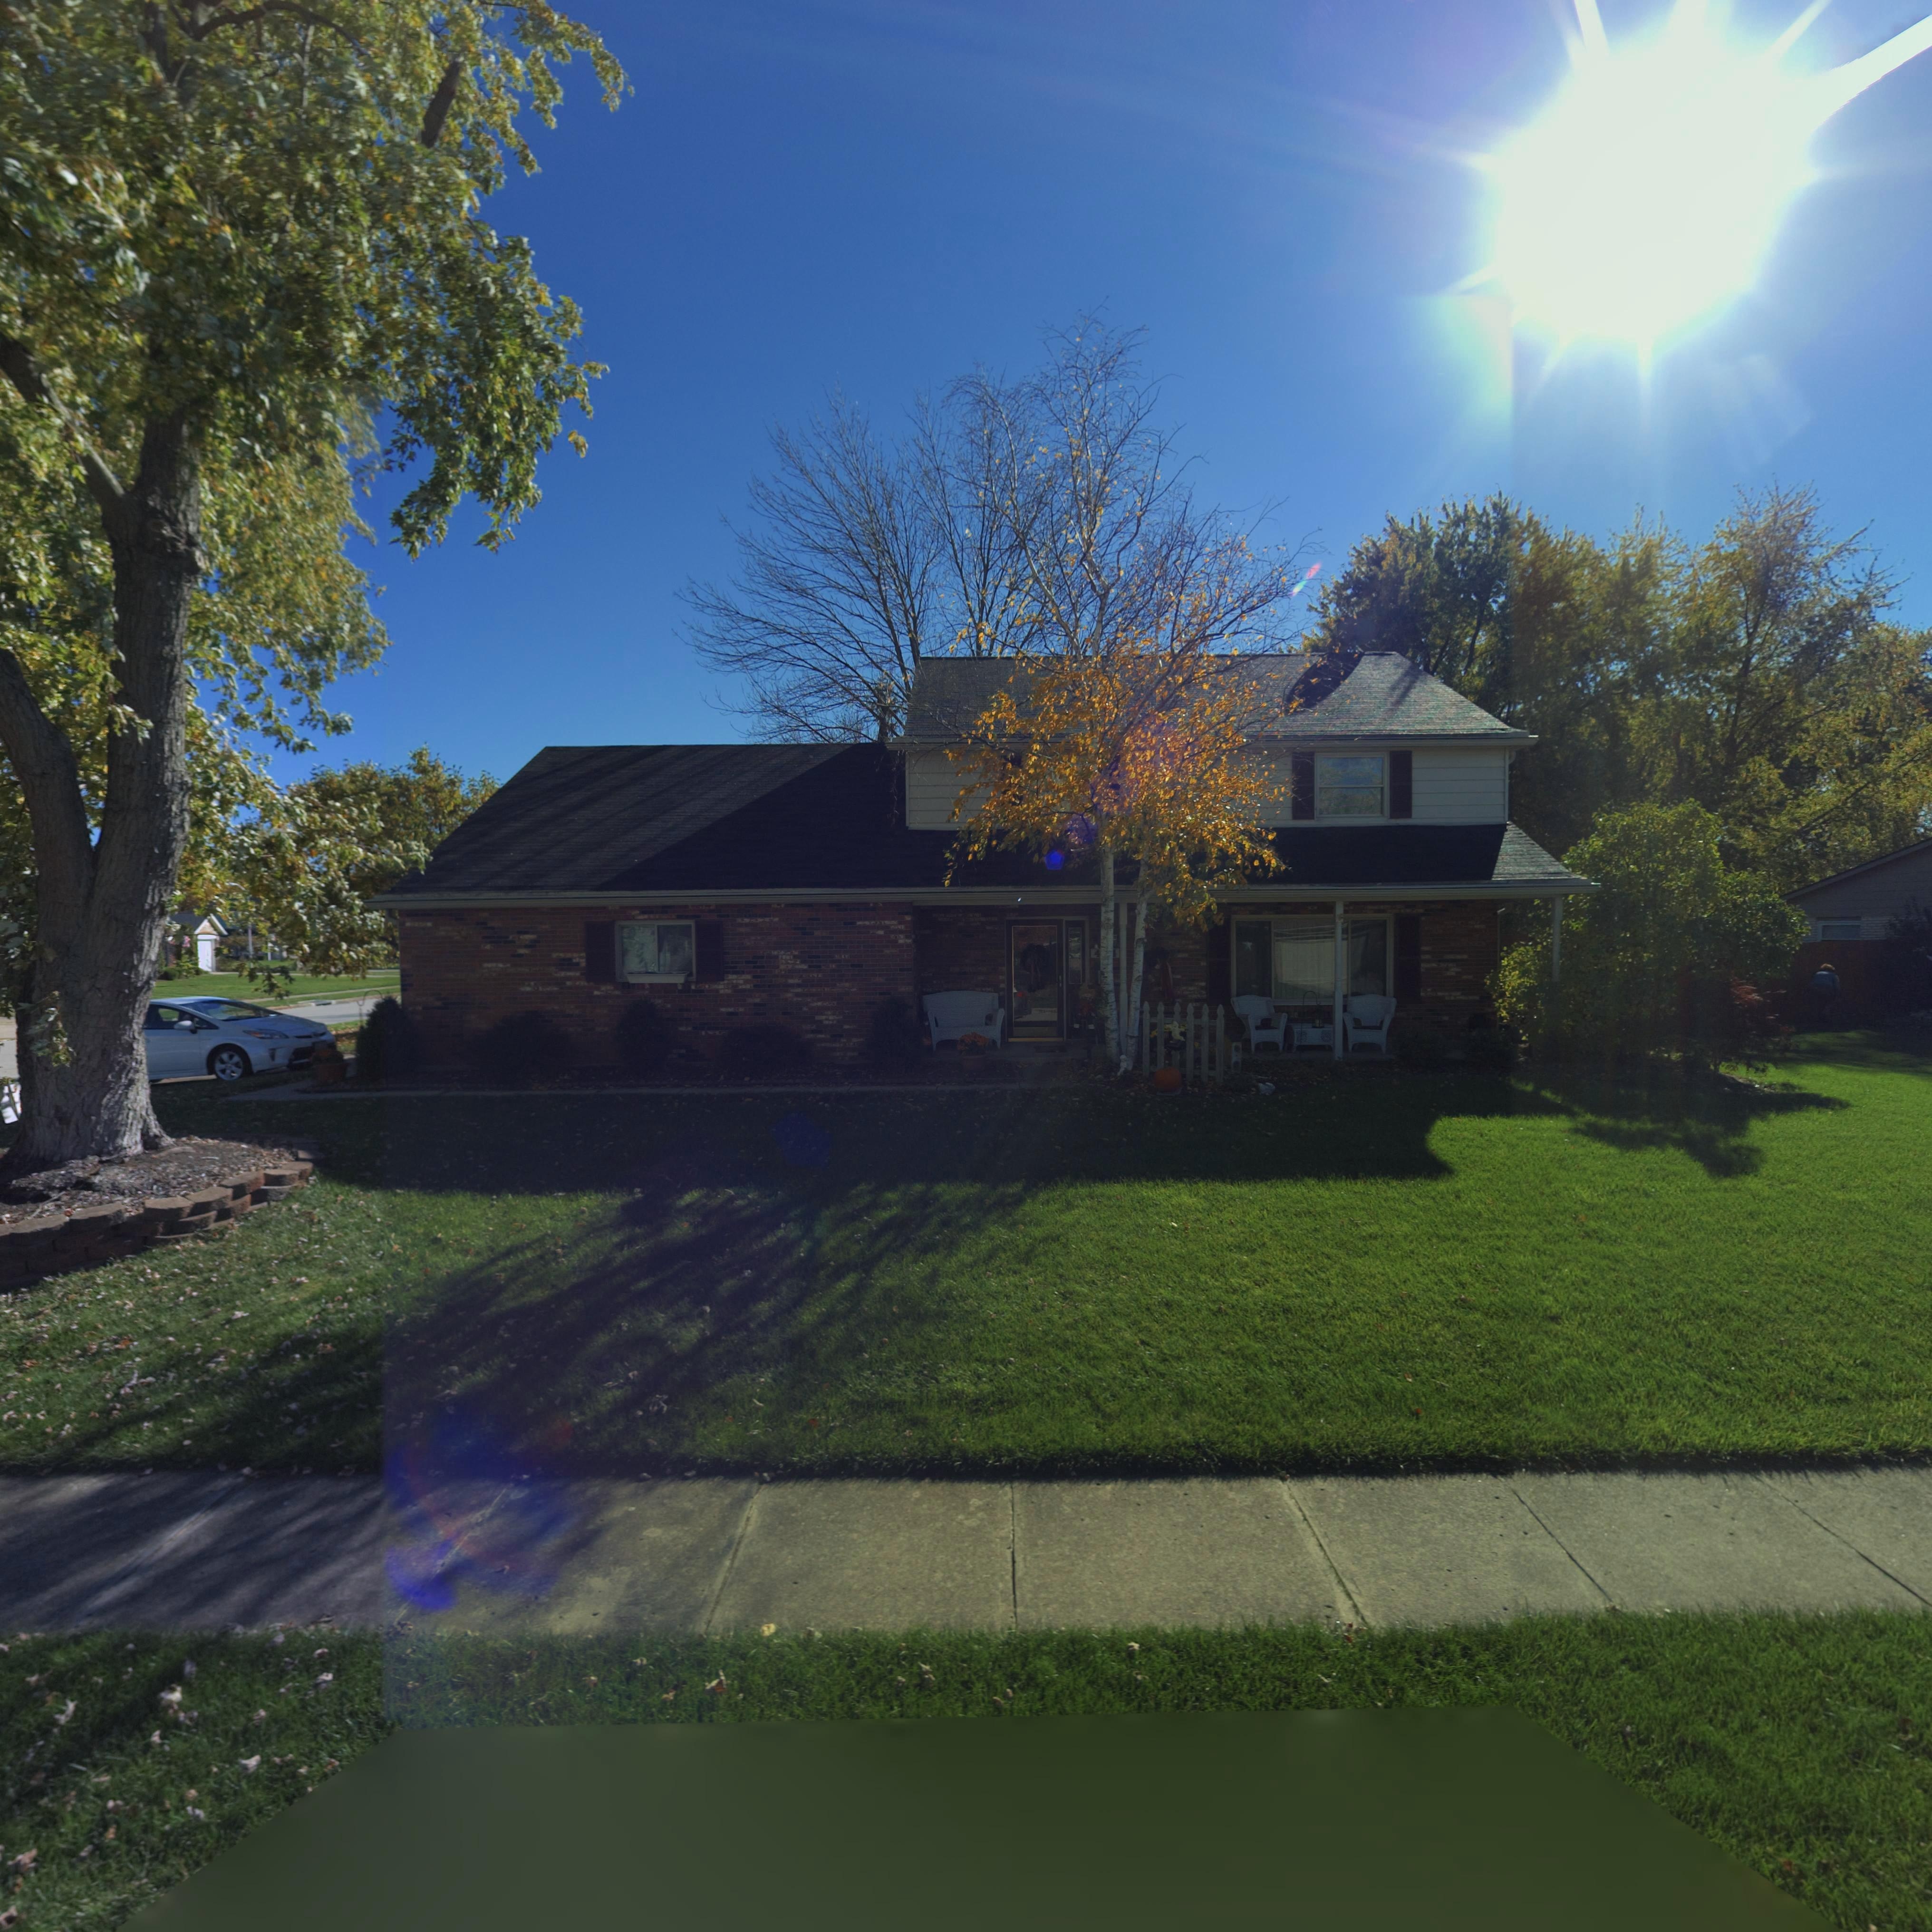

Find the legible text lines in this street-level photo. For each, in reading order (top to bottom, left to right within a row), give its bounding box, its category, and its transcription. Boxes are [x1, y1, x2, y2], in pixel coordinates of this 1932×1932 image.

[1094, 949, 1100, 958] StreetNumber: 4